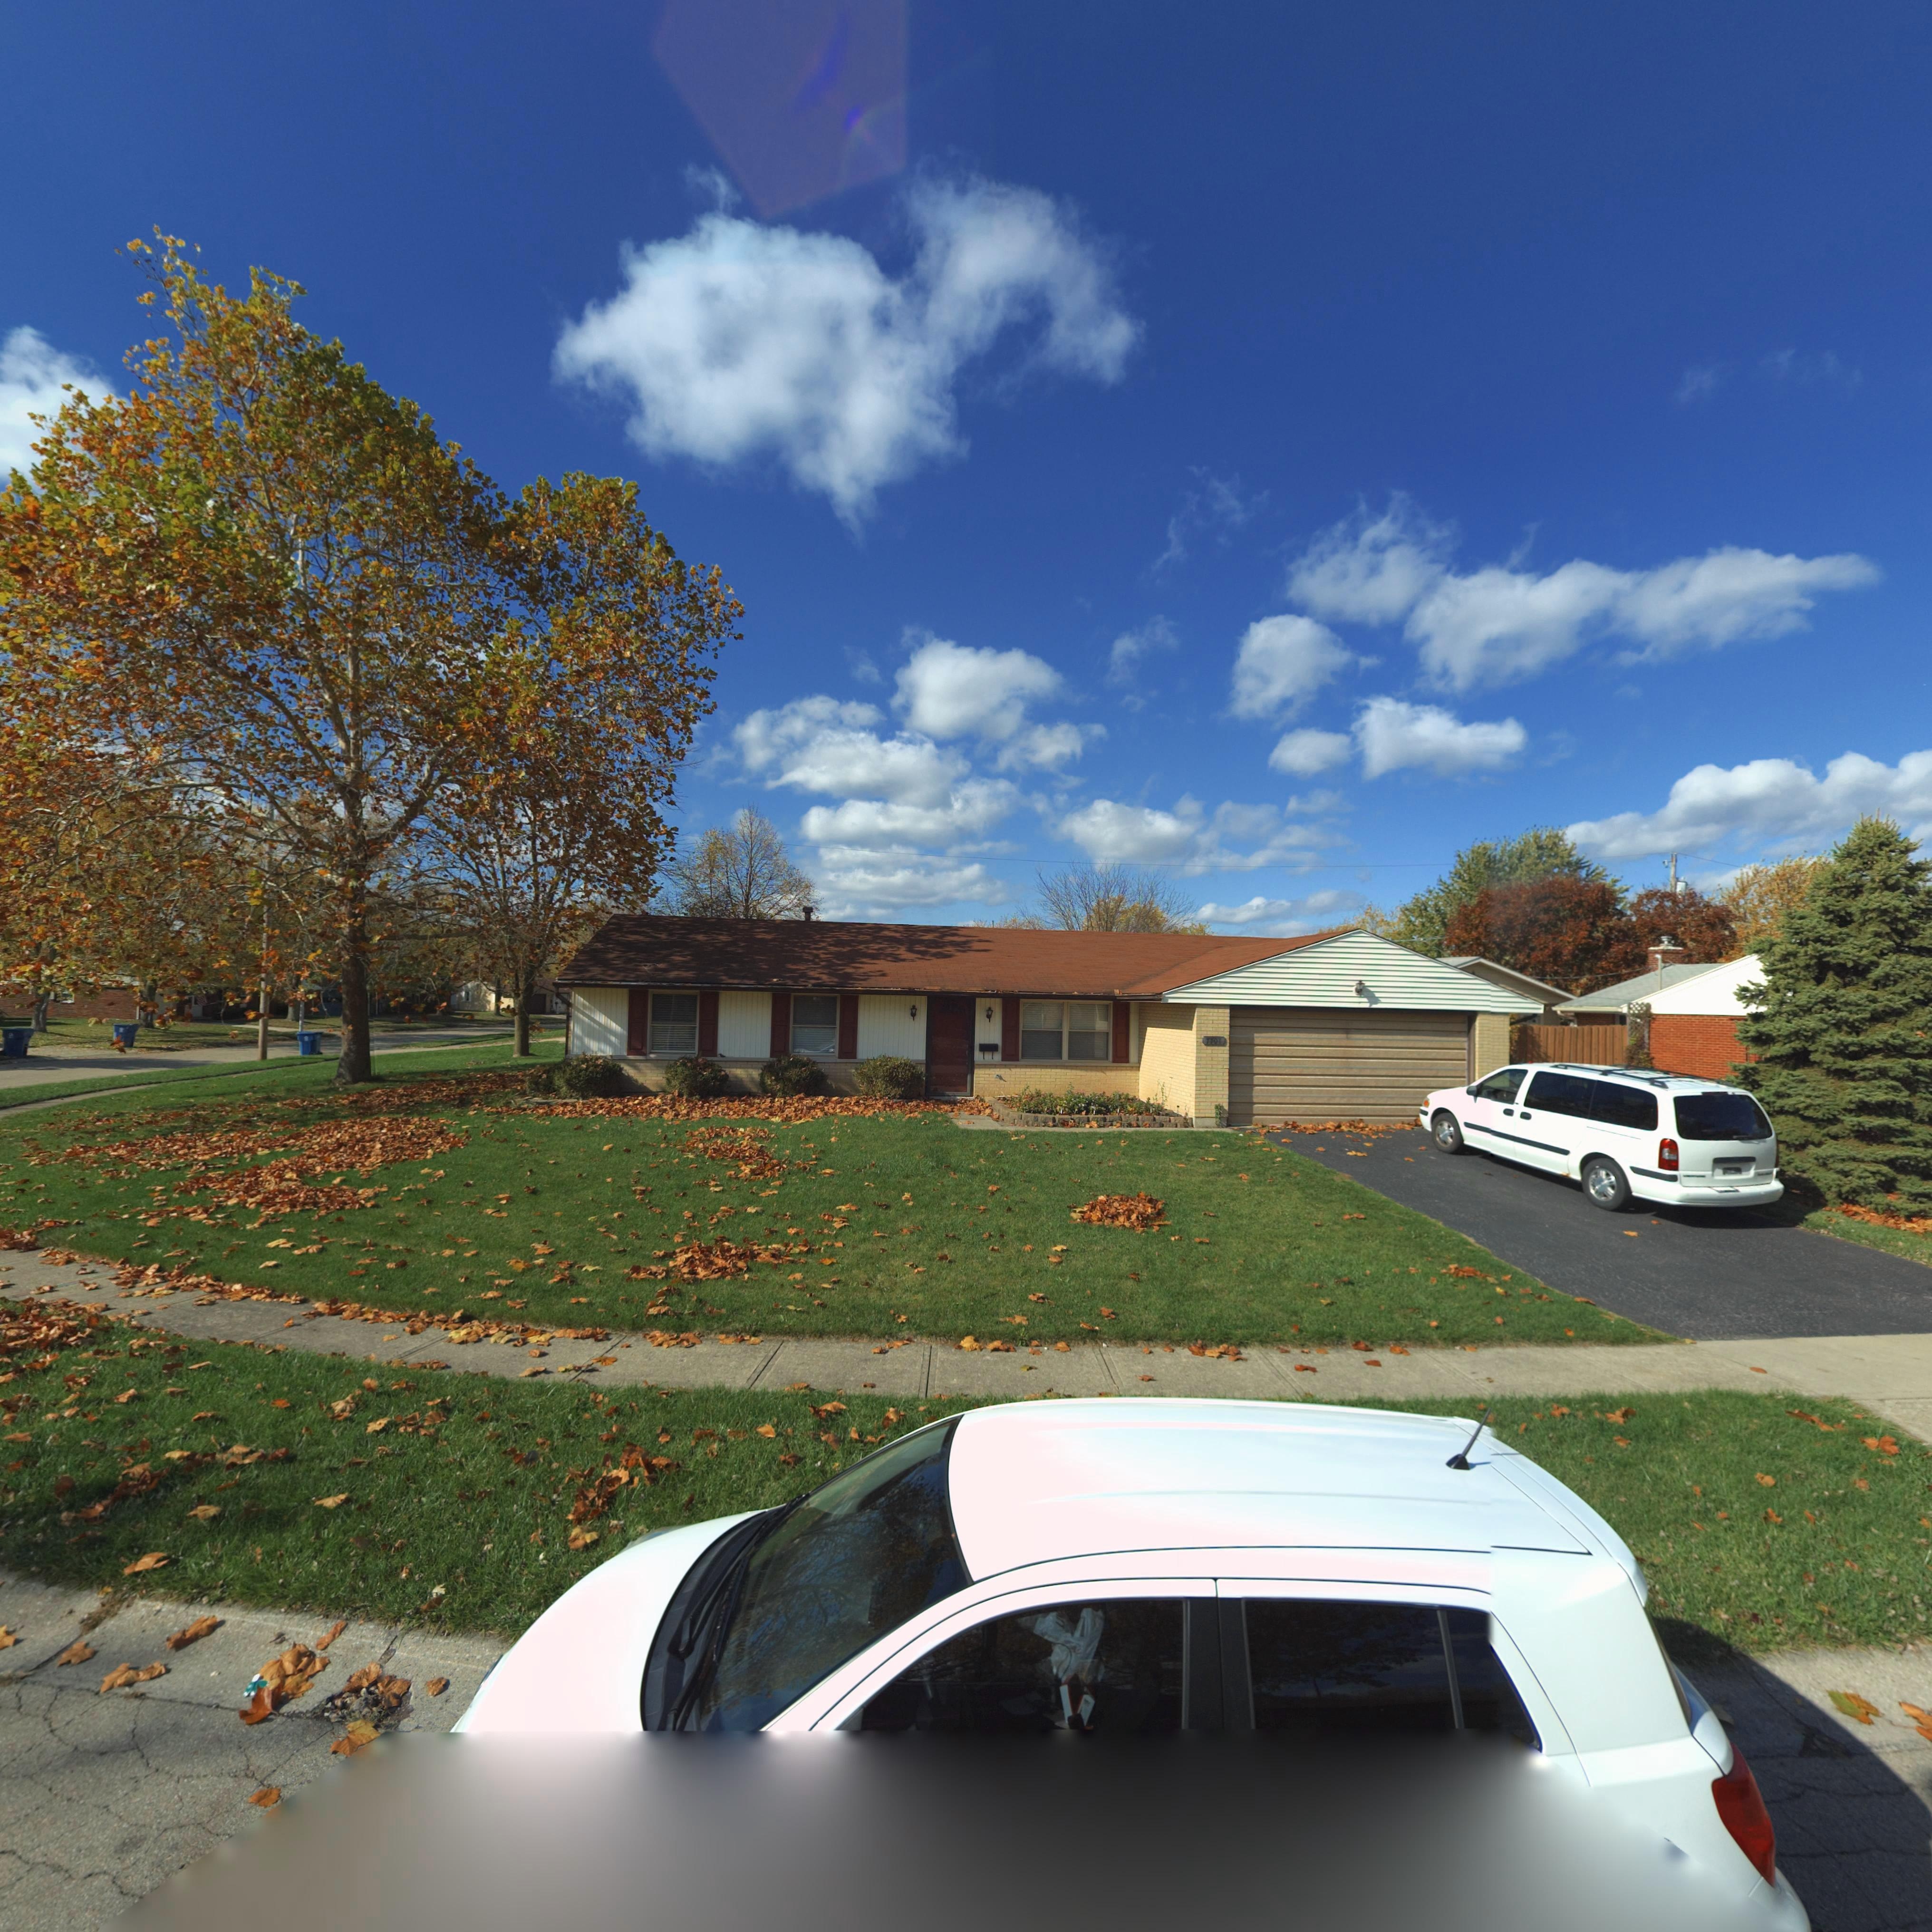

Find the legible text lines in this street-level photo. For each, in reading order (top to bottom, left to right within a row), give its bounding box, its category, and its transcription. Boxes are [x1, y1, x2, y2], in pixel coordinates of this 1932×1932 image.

[1206, 1037, 1222, 1045] StreetNumber: 7701